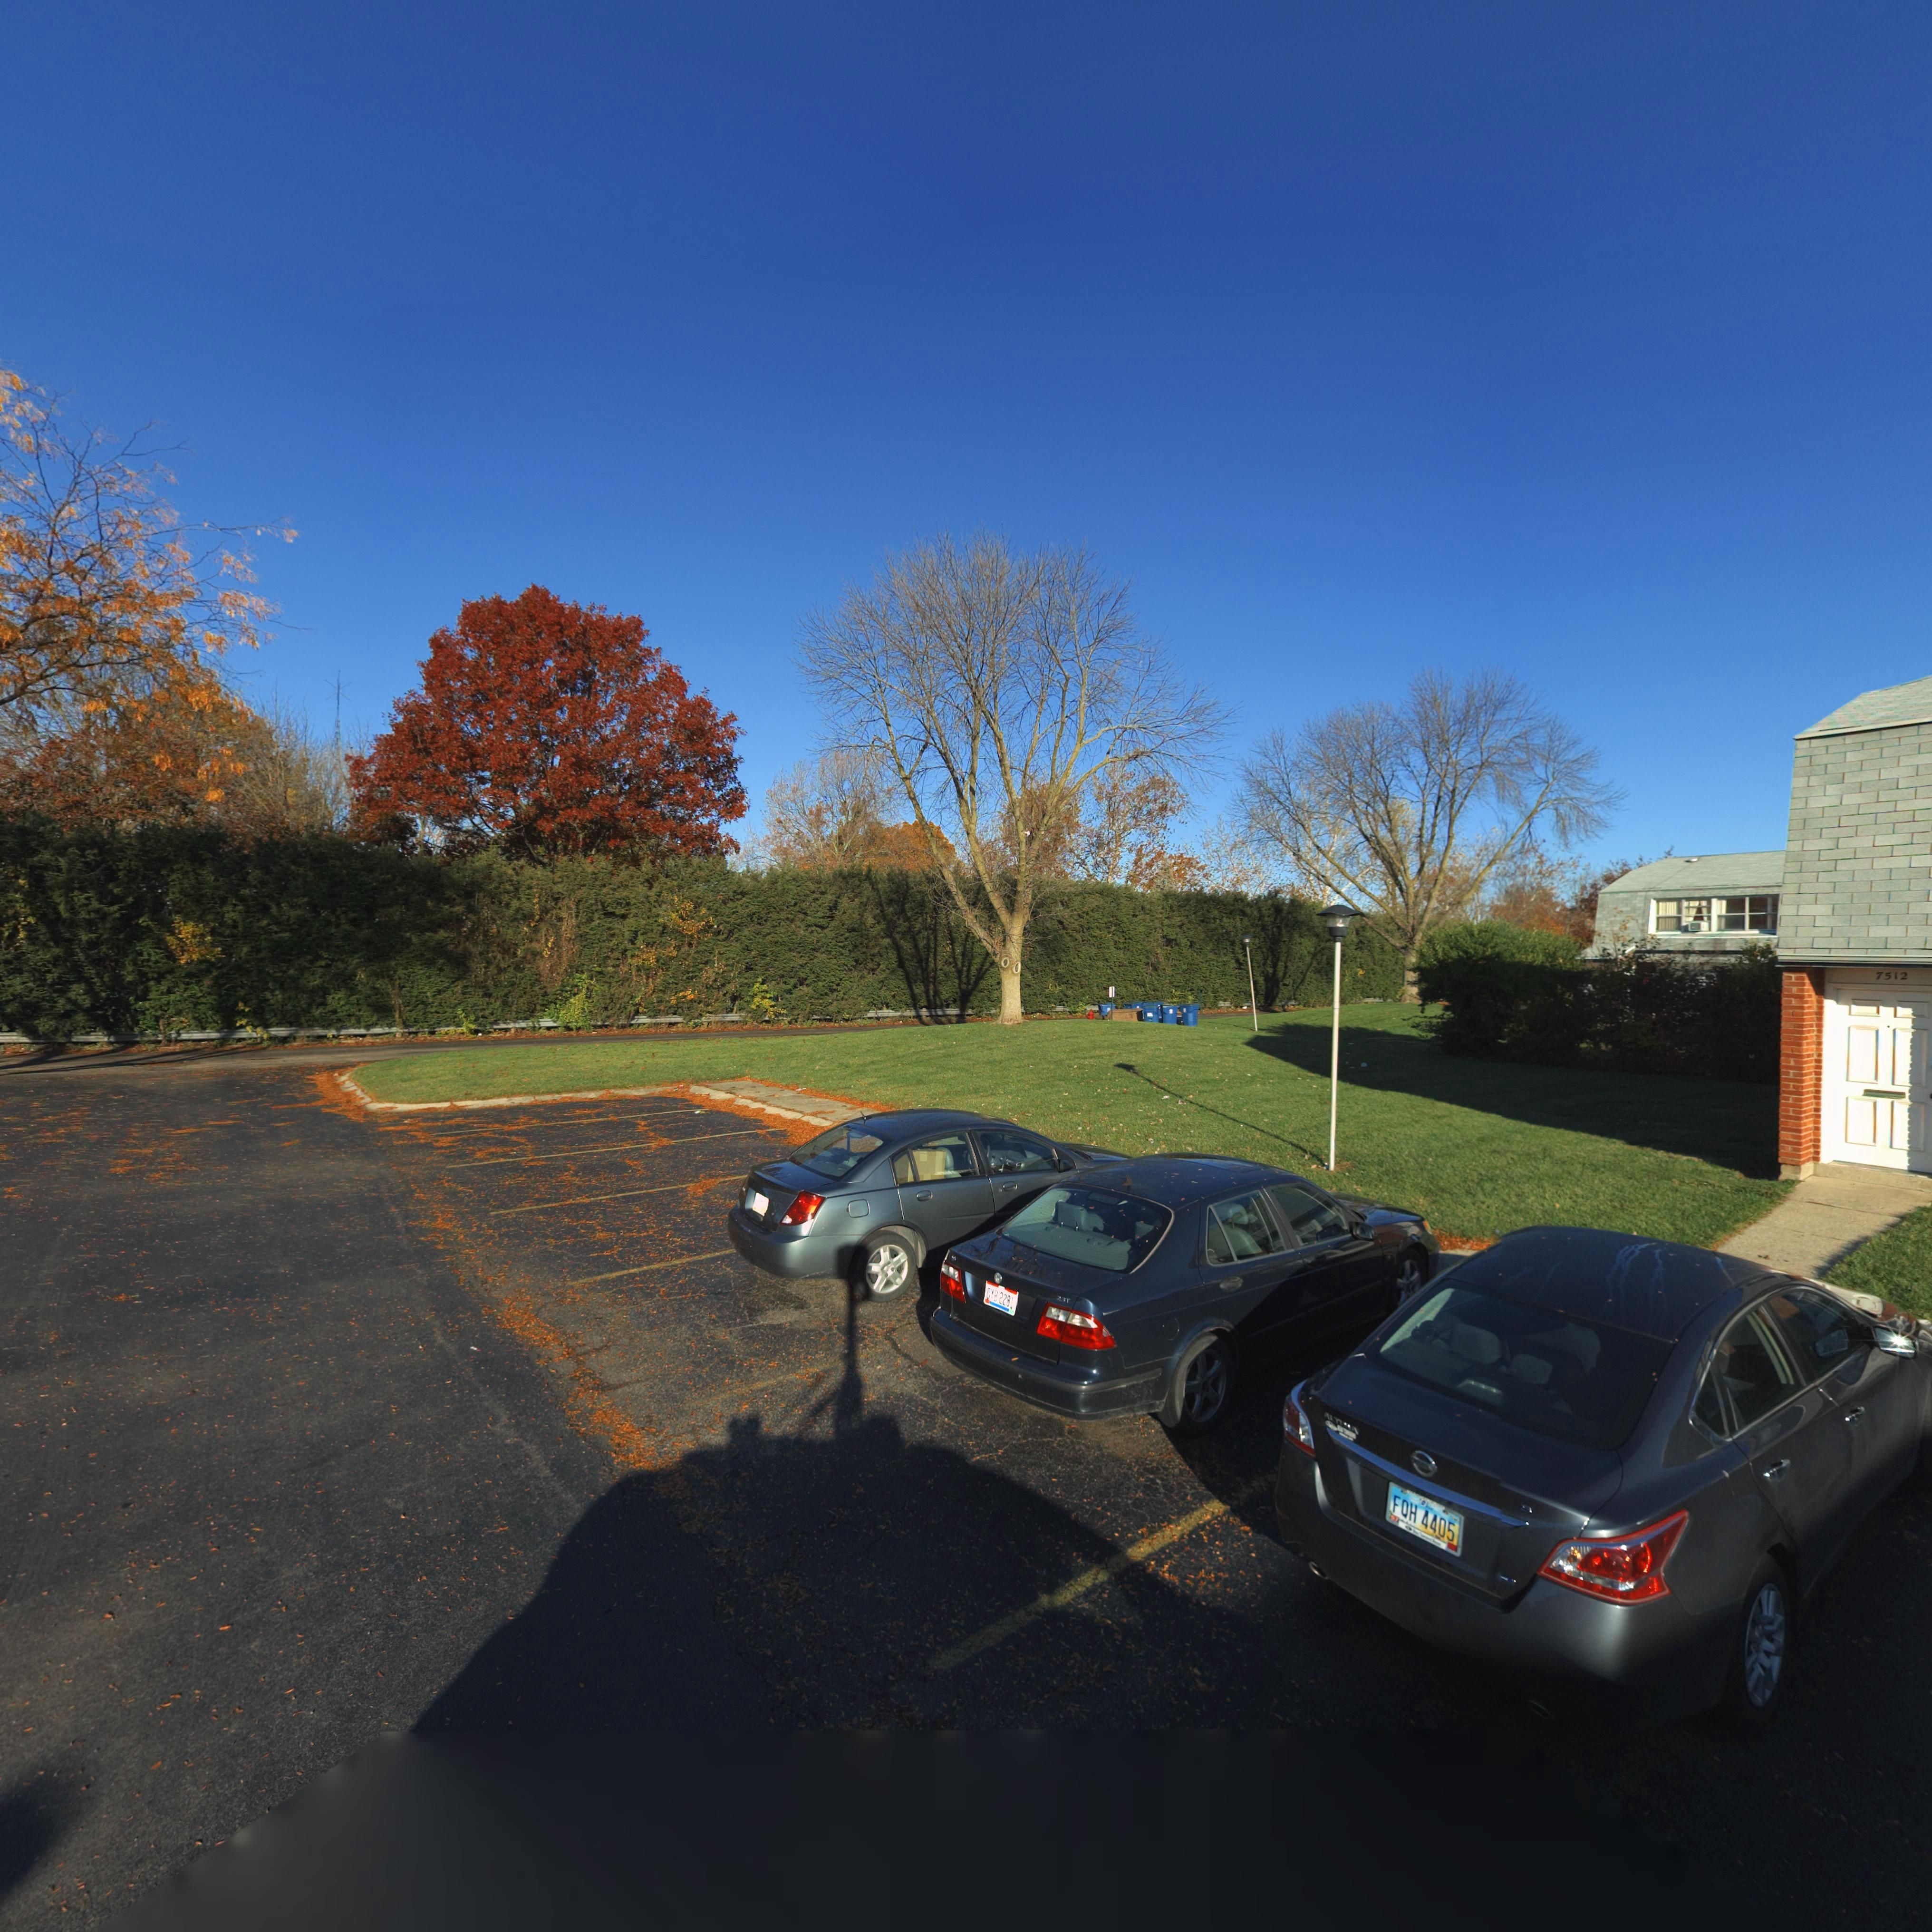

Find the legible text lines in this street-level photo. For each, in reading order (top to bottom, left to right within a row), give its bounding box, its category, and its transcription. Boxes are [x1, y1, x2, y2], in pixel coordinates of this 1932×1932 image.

[1874, 970, 1909, 982] StreetNumber: 7512